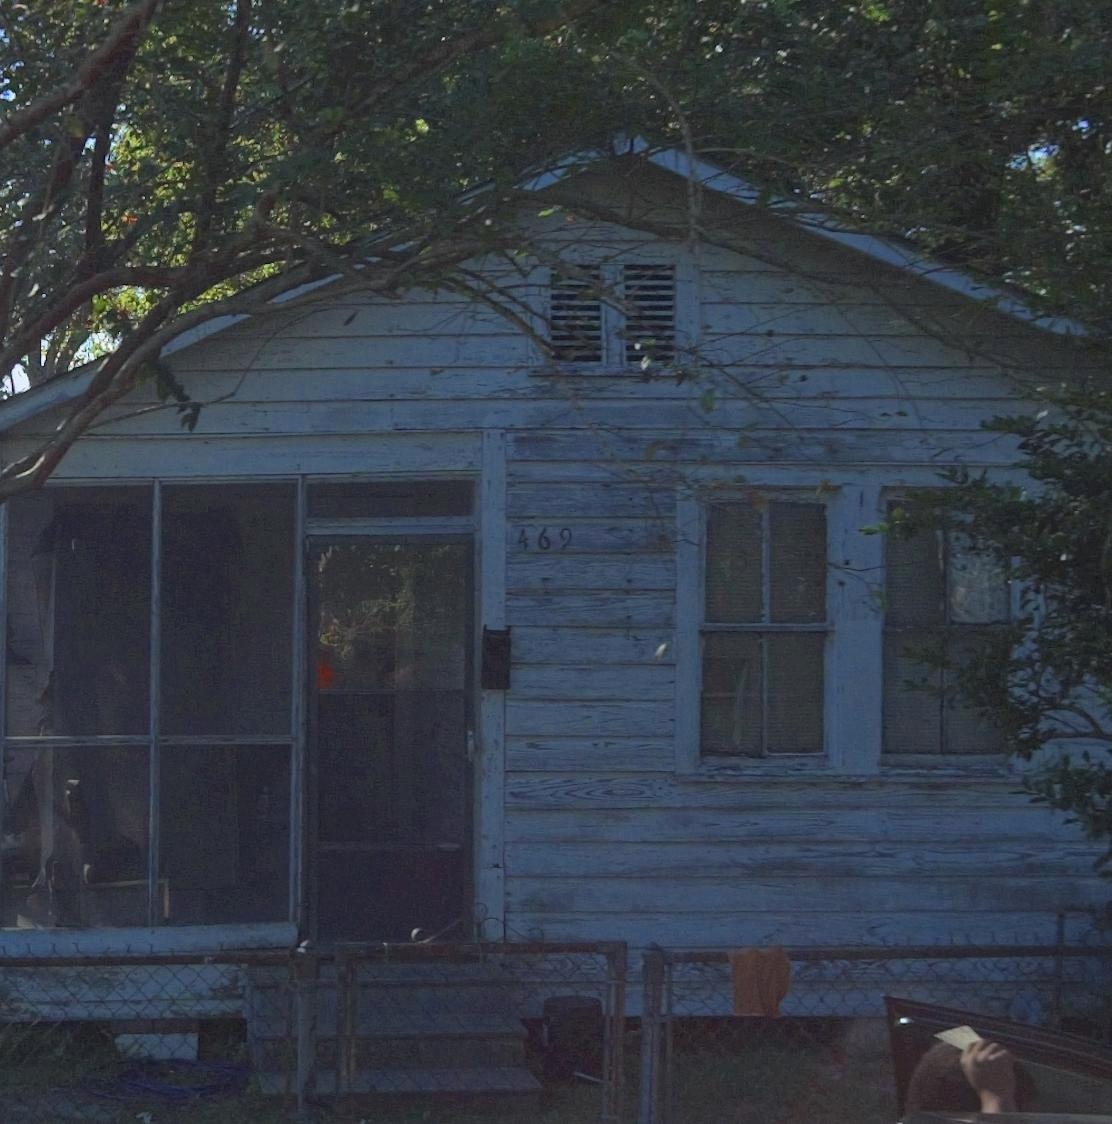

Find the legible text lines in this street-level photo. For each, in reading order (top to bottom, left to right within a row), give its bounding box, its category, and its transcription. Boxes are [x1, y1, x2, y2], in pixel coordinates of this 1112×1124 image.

[515, 525, 575, 554] StreetNumber: 469